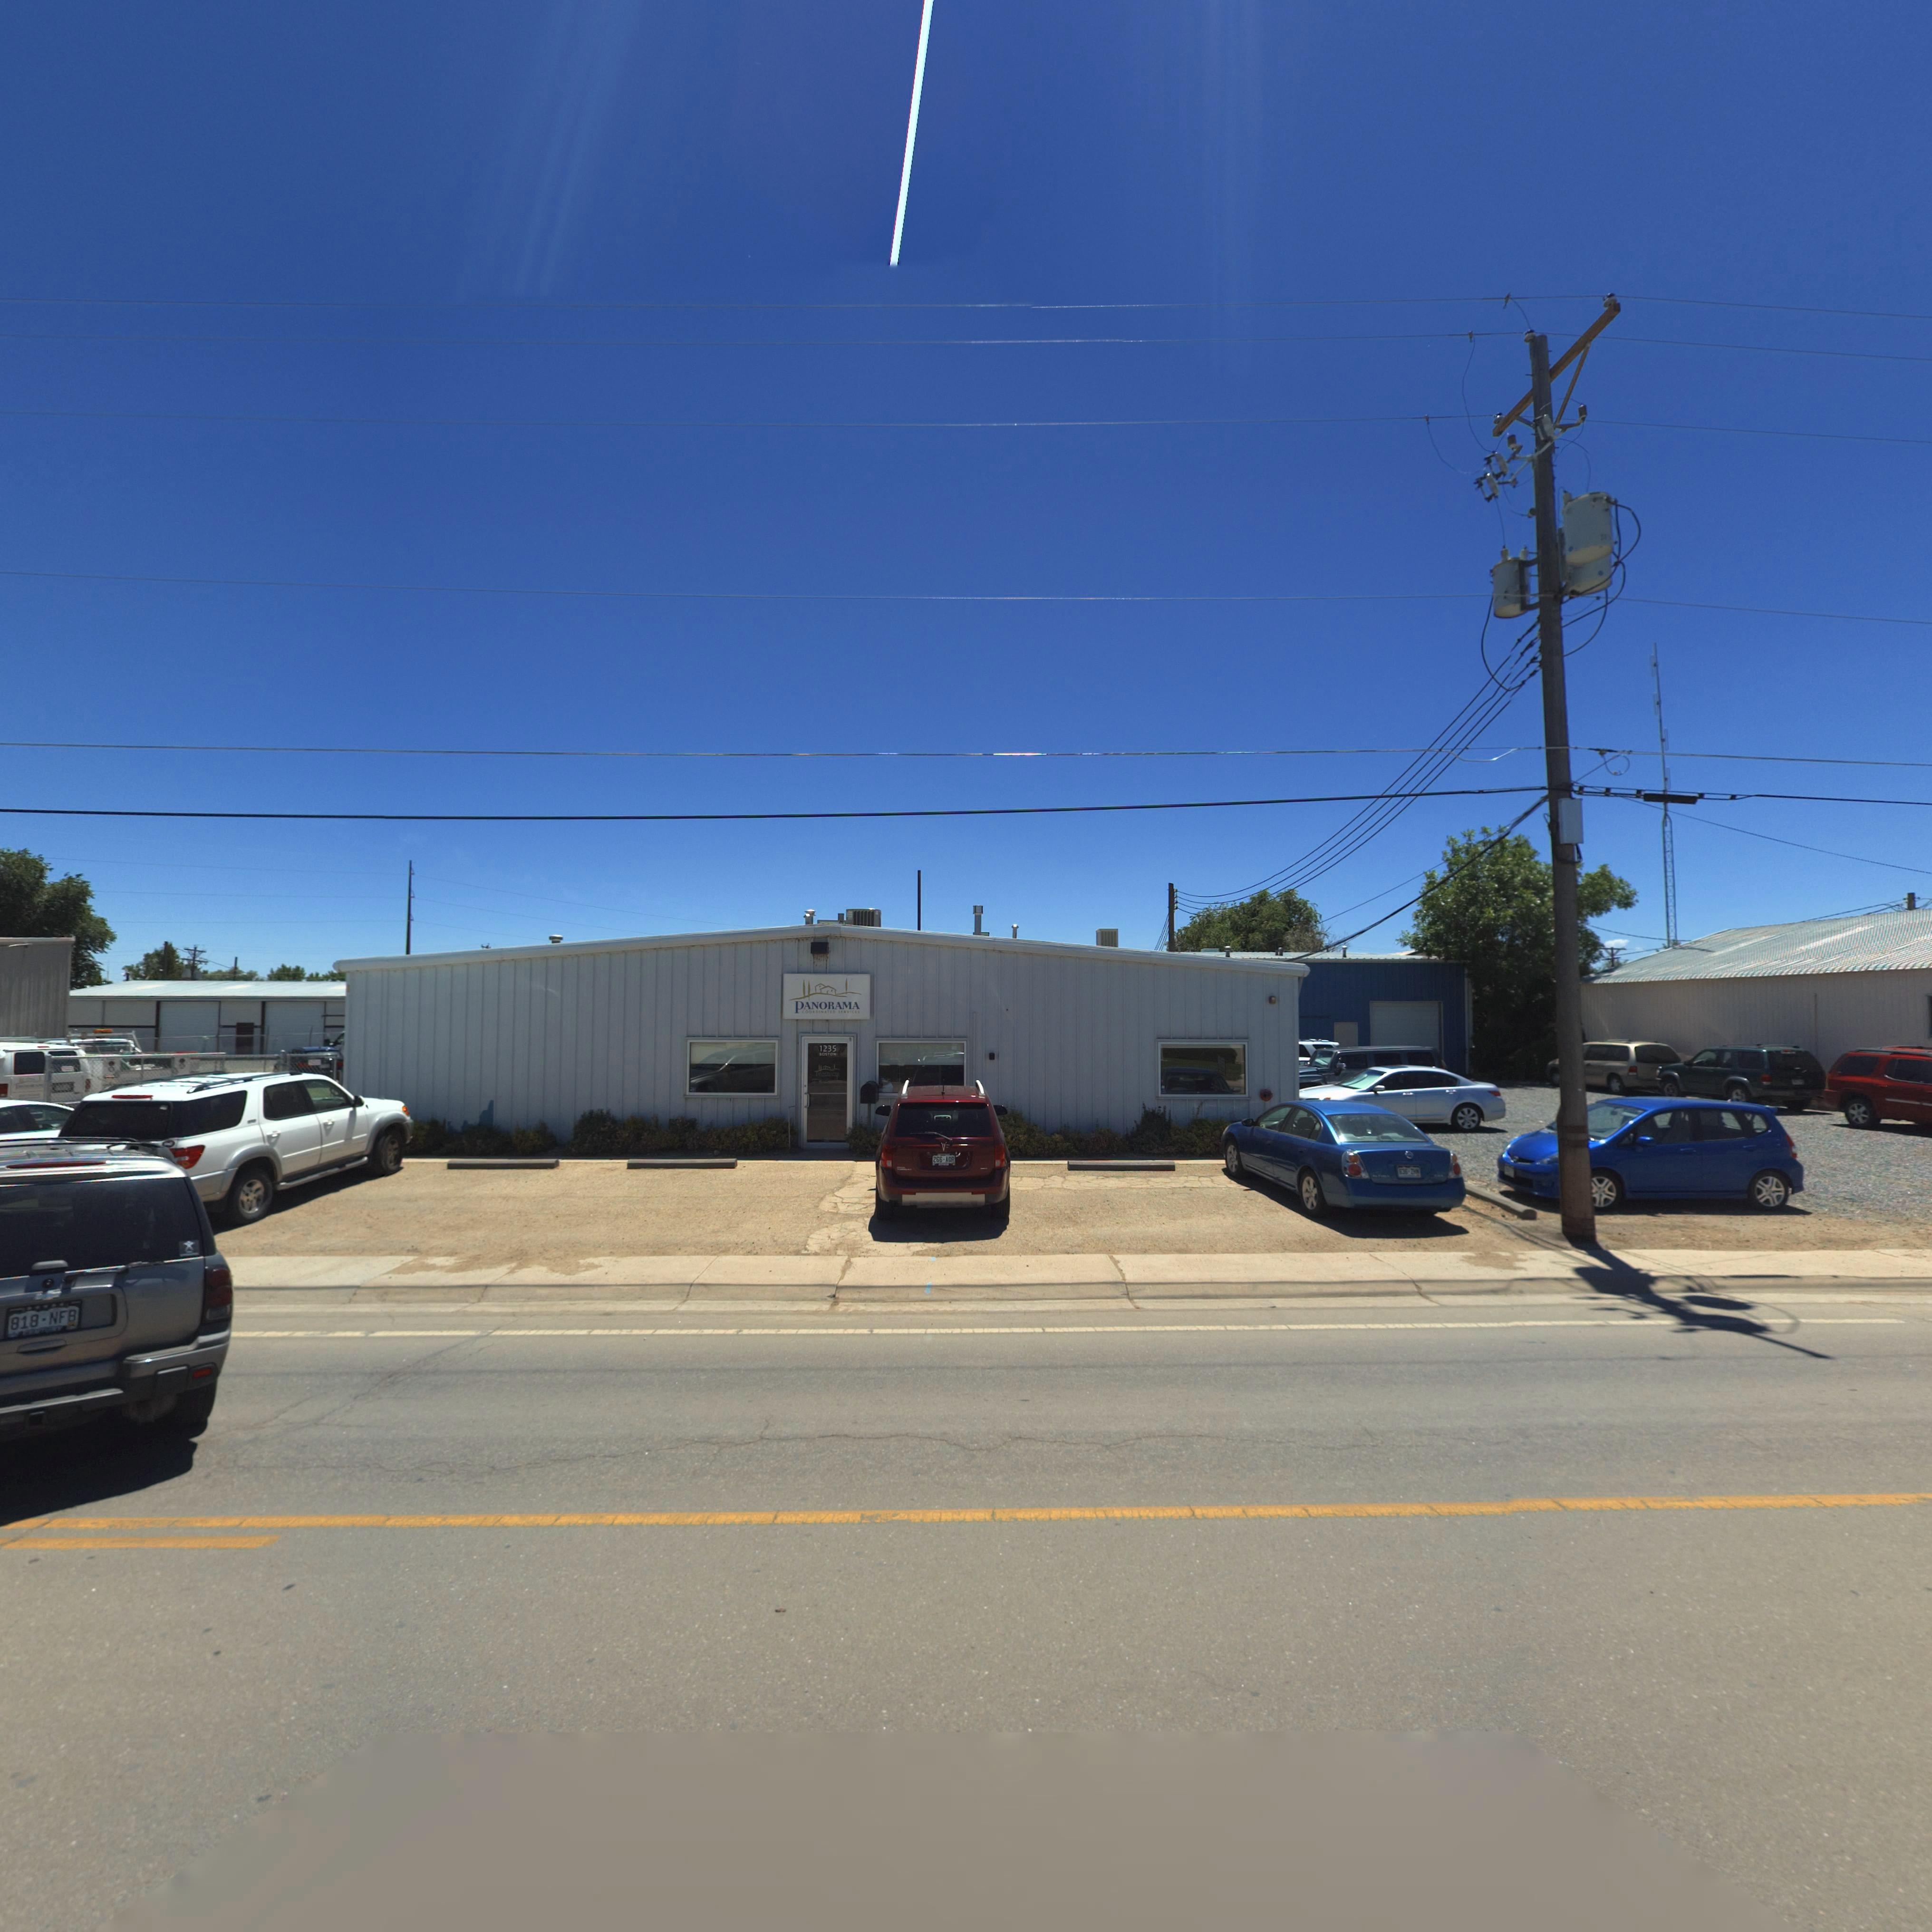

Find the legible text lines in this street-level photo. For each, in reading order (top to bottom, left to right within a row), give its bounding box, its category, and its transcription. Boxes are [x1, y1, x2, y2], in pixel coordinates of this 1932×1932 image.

[794, 1000, 860, 1014] BusinessName: PANORAMA
[802, 1009, 860, 1014] BusinessName: COORDINATED SERVICES
[819, 1044, 836, 1052] StreetNumber: 1235
[819, 1052, 836, 1056] StreetName: BOSTON
[818, 1072, 839, 1075] BusinessName: PA******